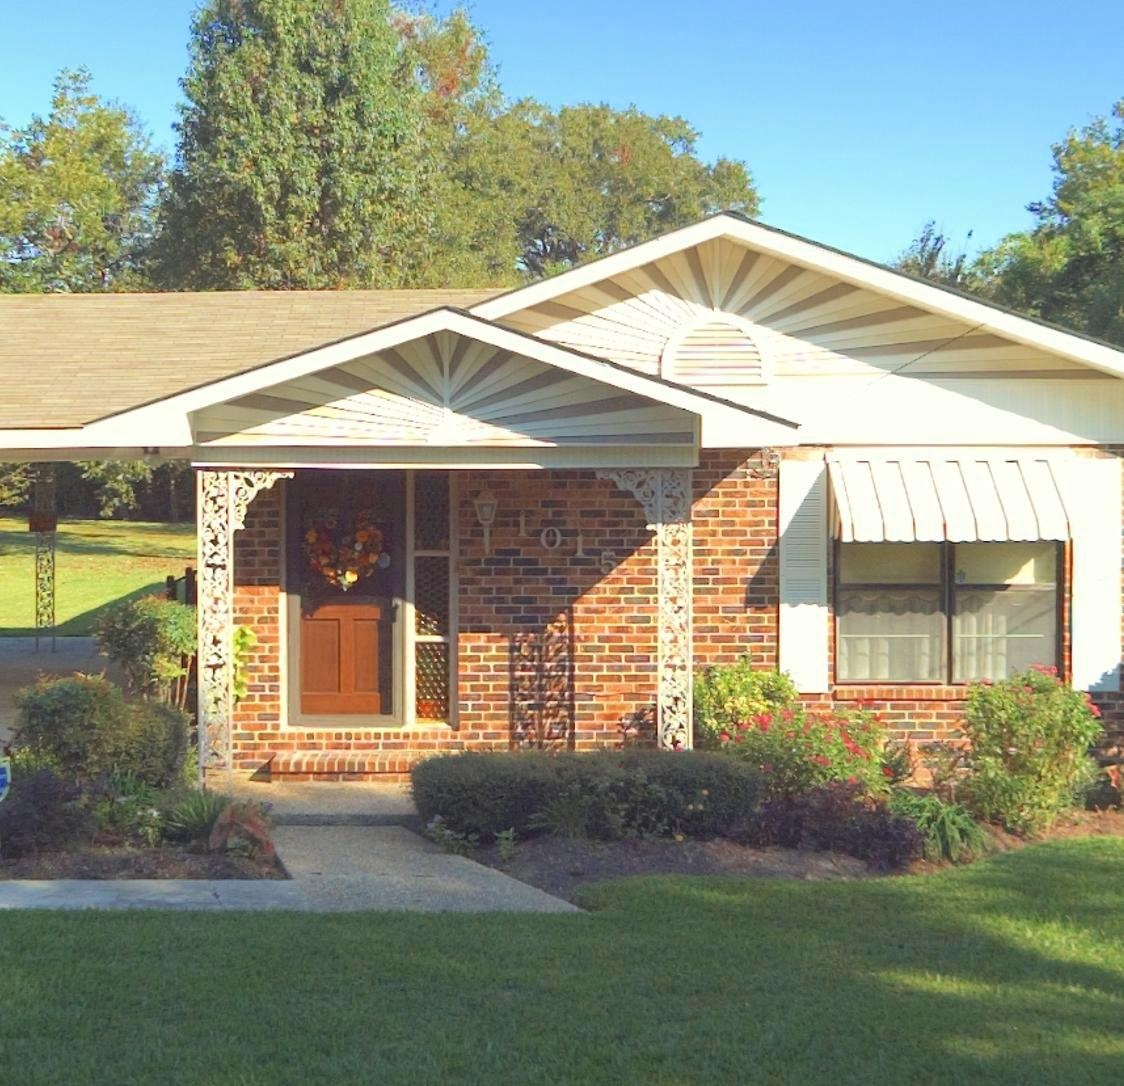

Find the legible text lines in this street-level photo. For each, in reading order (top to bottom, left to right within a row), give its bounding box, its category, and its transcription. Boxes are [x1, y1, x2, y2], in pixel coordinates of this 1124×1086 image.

[508, 503, 624, 583] StreetNumber: 1015